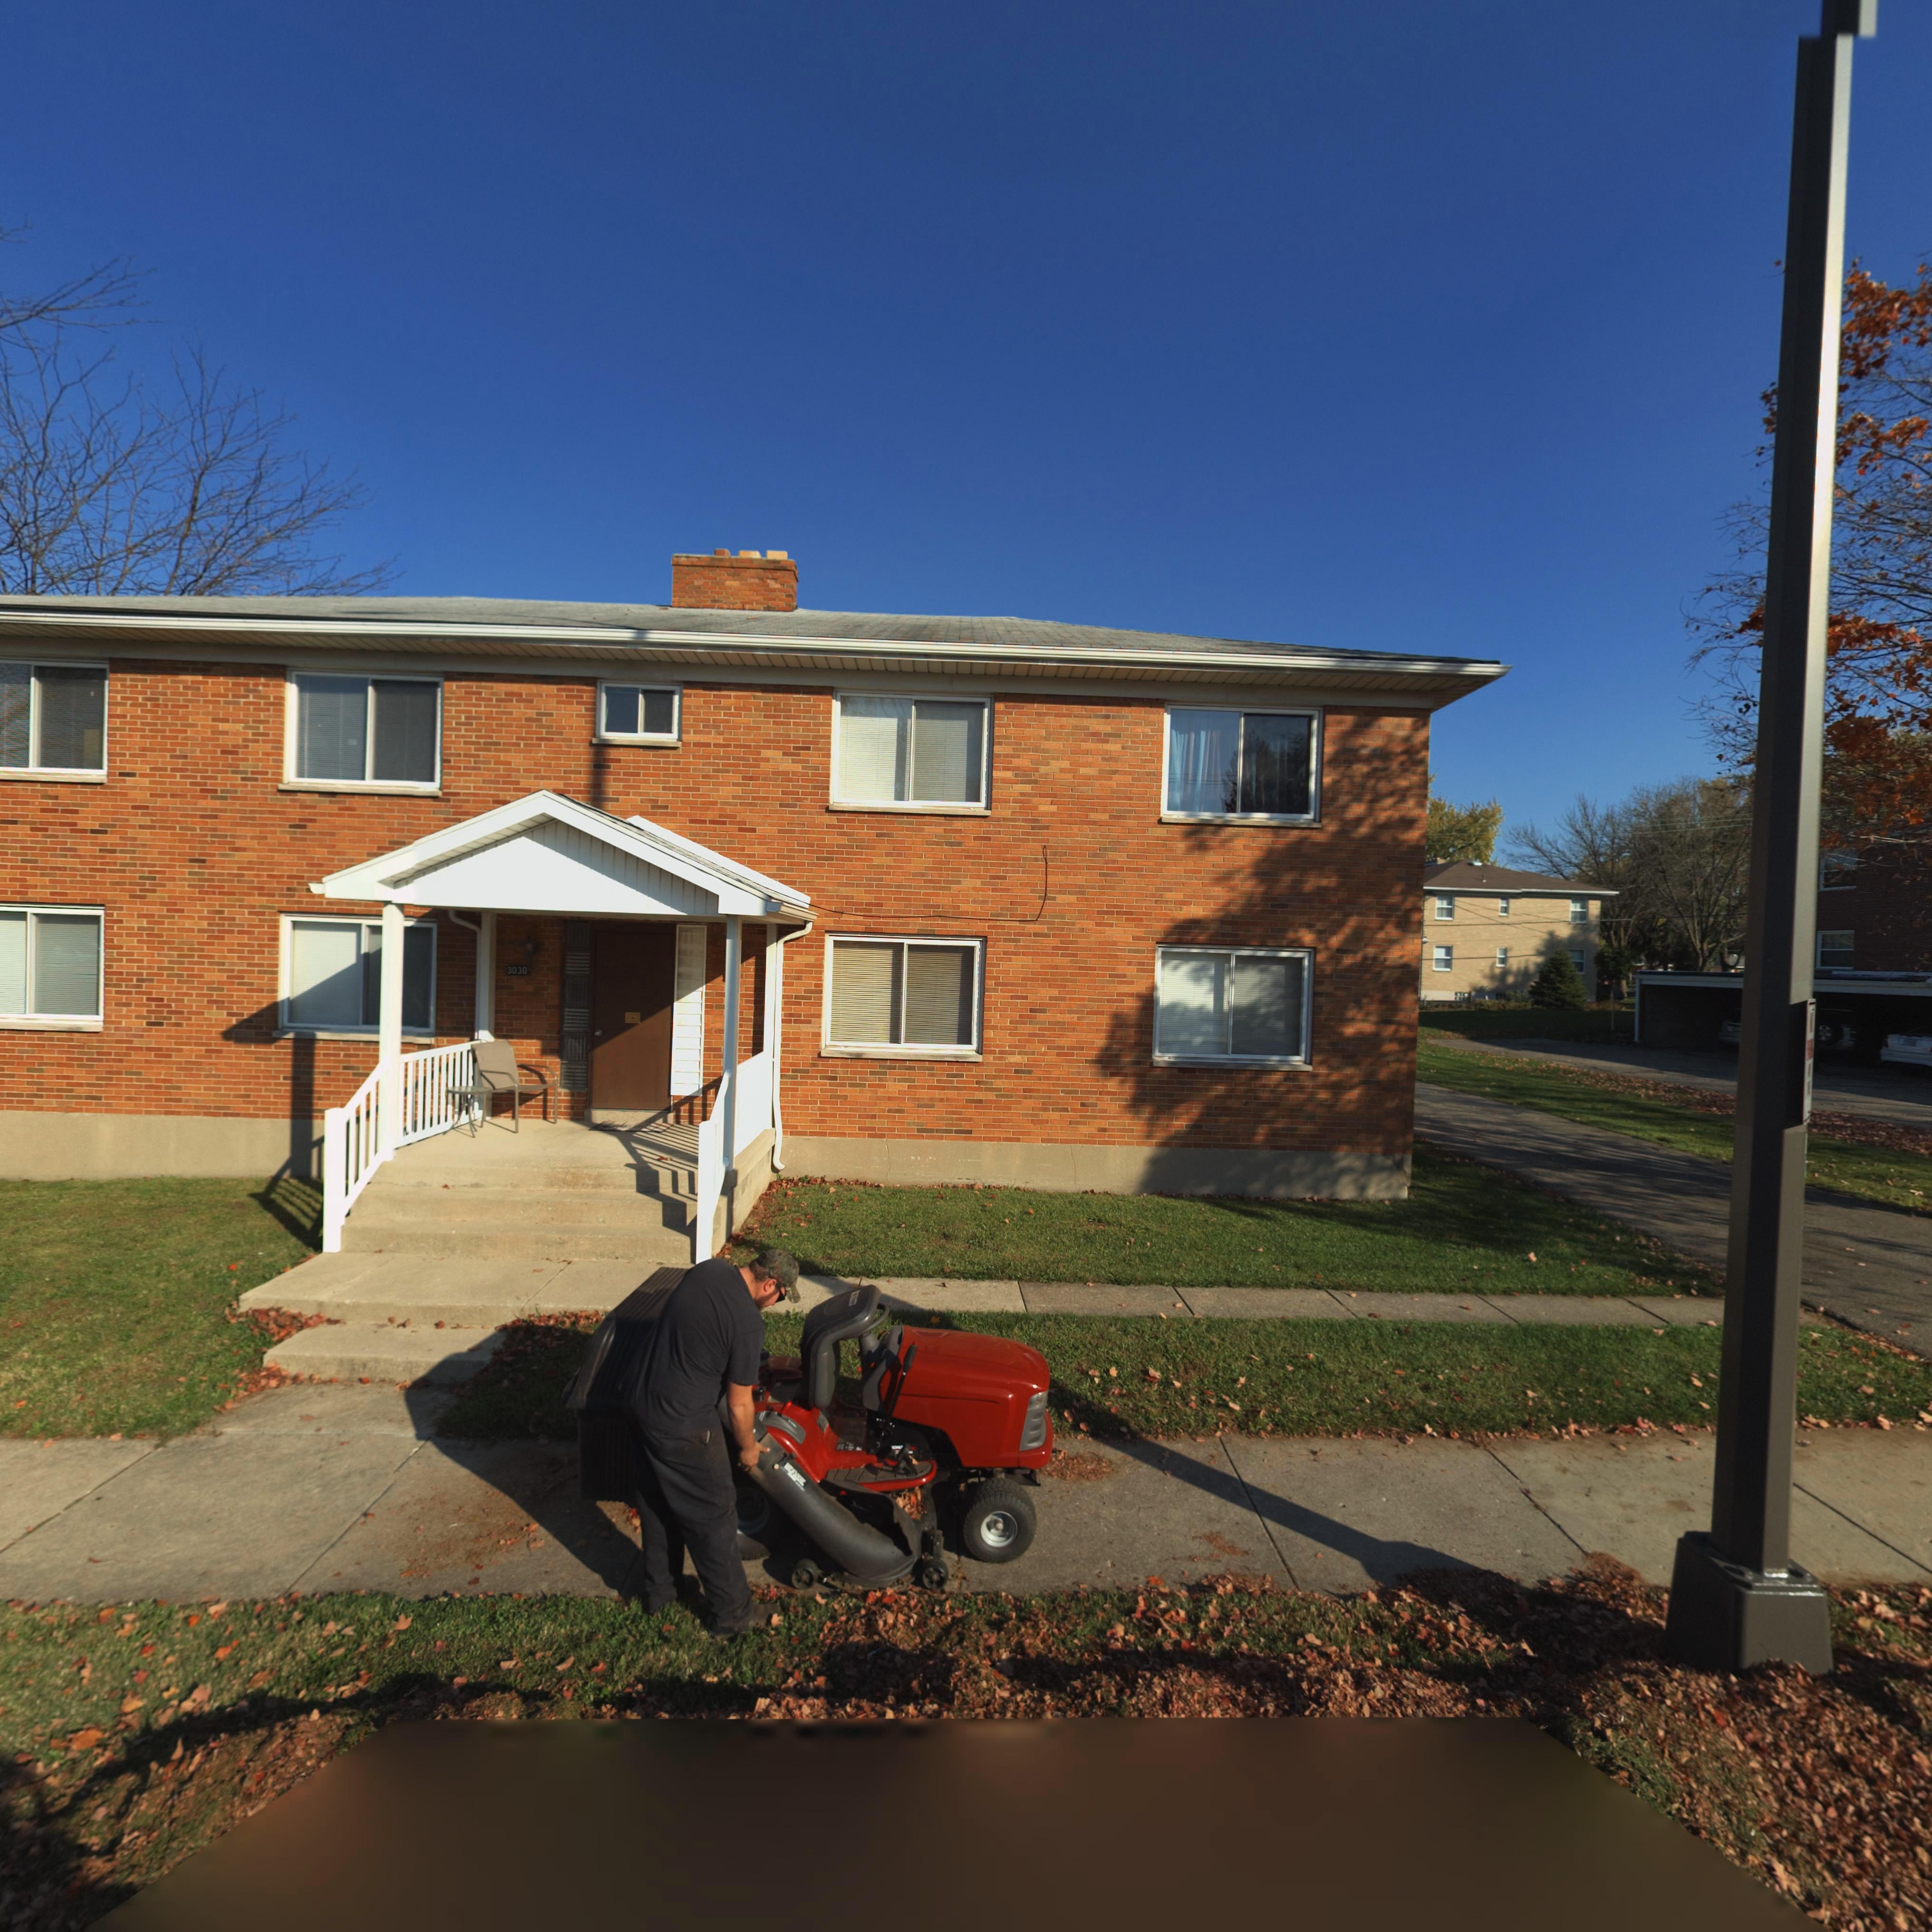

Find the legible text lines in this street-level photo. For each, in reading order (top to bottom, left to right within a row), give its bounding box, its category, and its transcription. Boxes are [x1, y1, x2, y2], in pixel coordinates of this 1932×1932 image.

[506, 966, 528, 976] StreetNumber: 3030